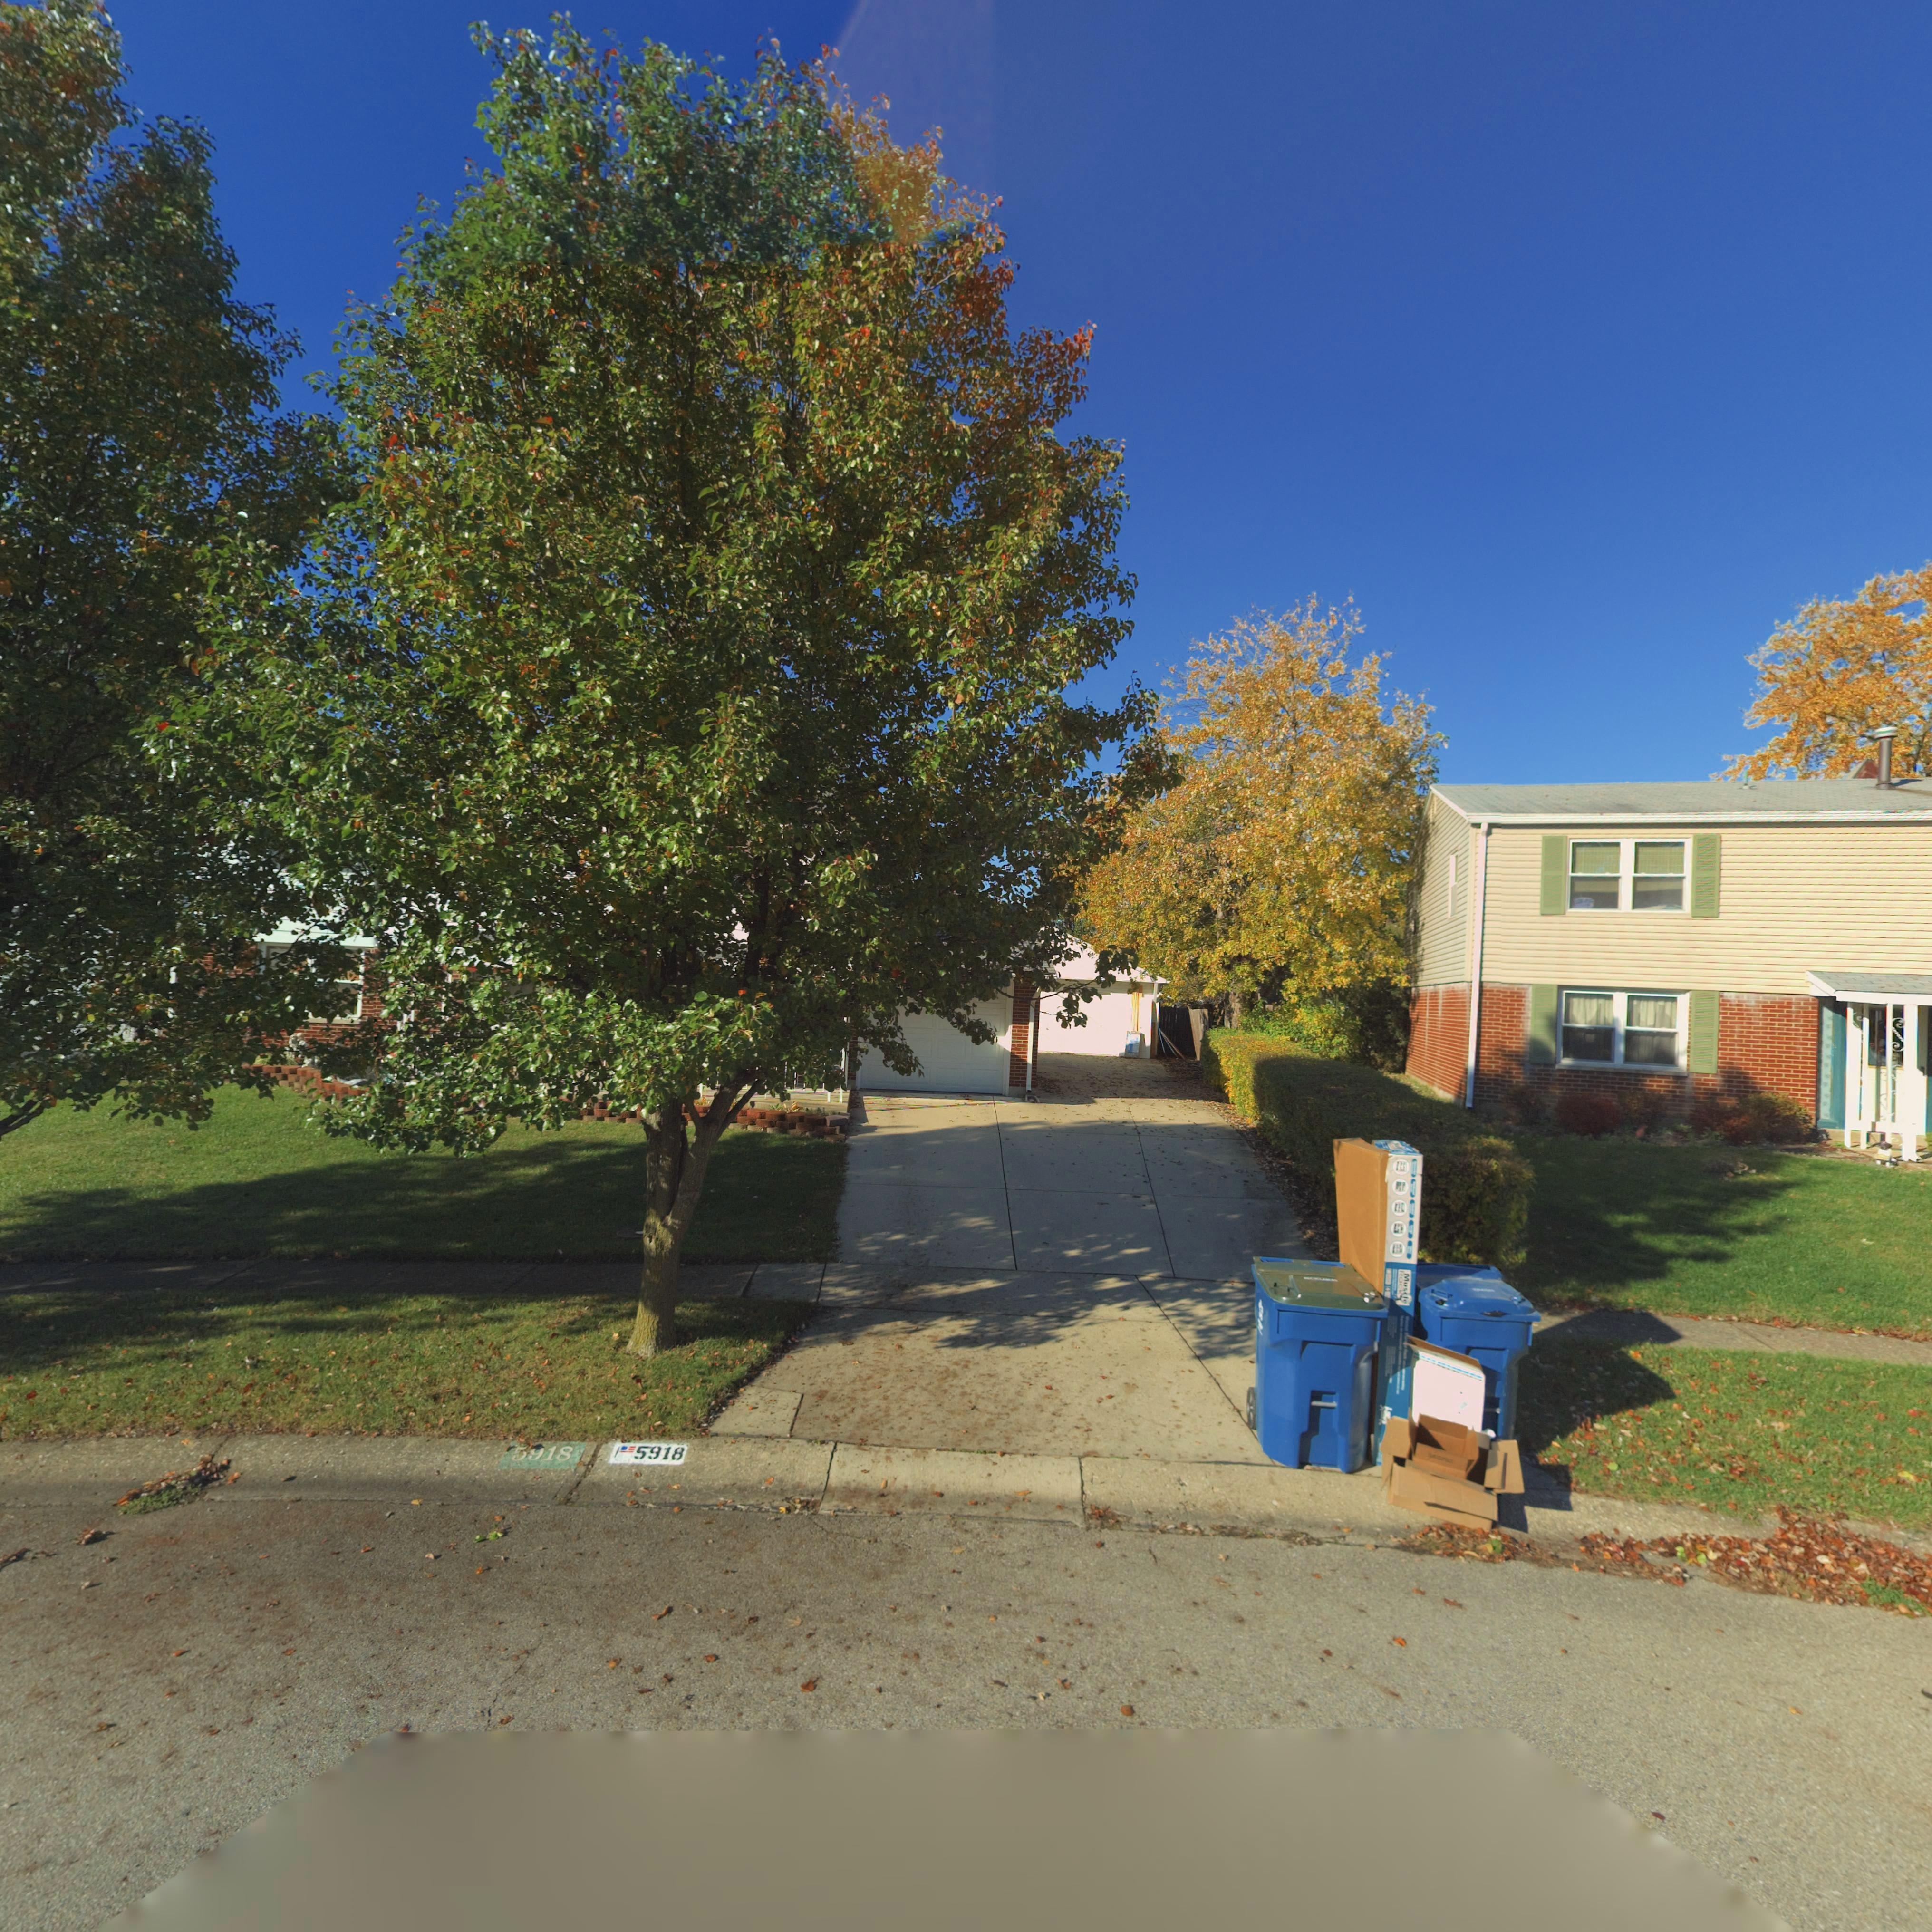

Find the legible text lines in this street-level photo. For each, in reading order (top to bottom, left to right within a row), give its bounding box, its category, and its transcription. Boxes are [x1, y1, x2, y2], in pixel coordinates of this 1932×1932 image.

[509, 1444, 575, 1464] StreetNumber: 5918
[632, 1445, 686, 1462] StreetNumber: 5918